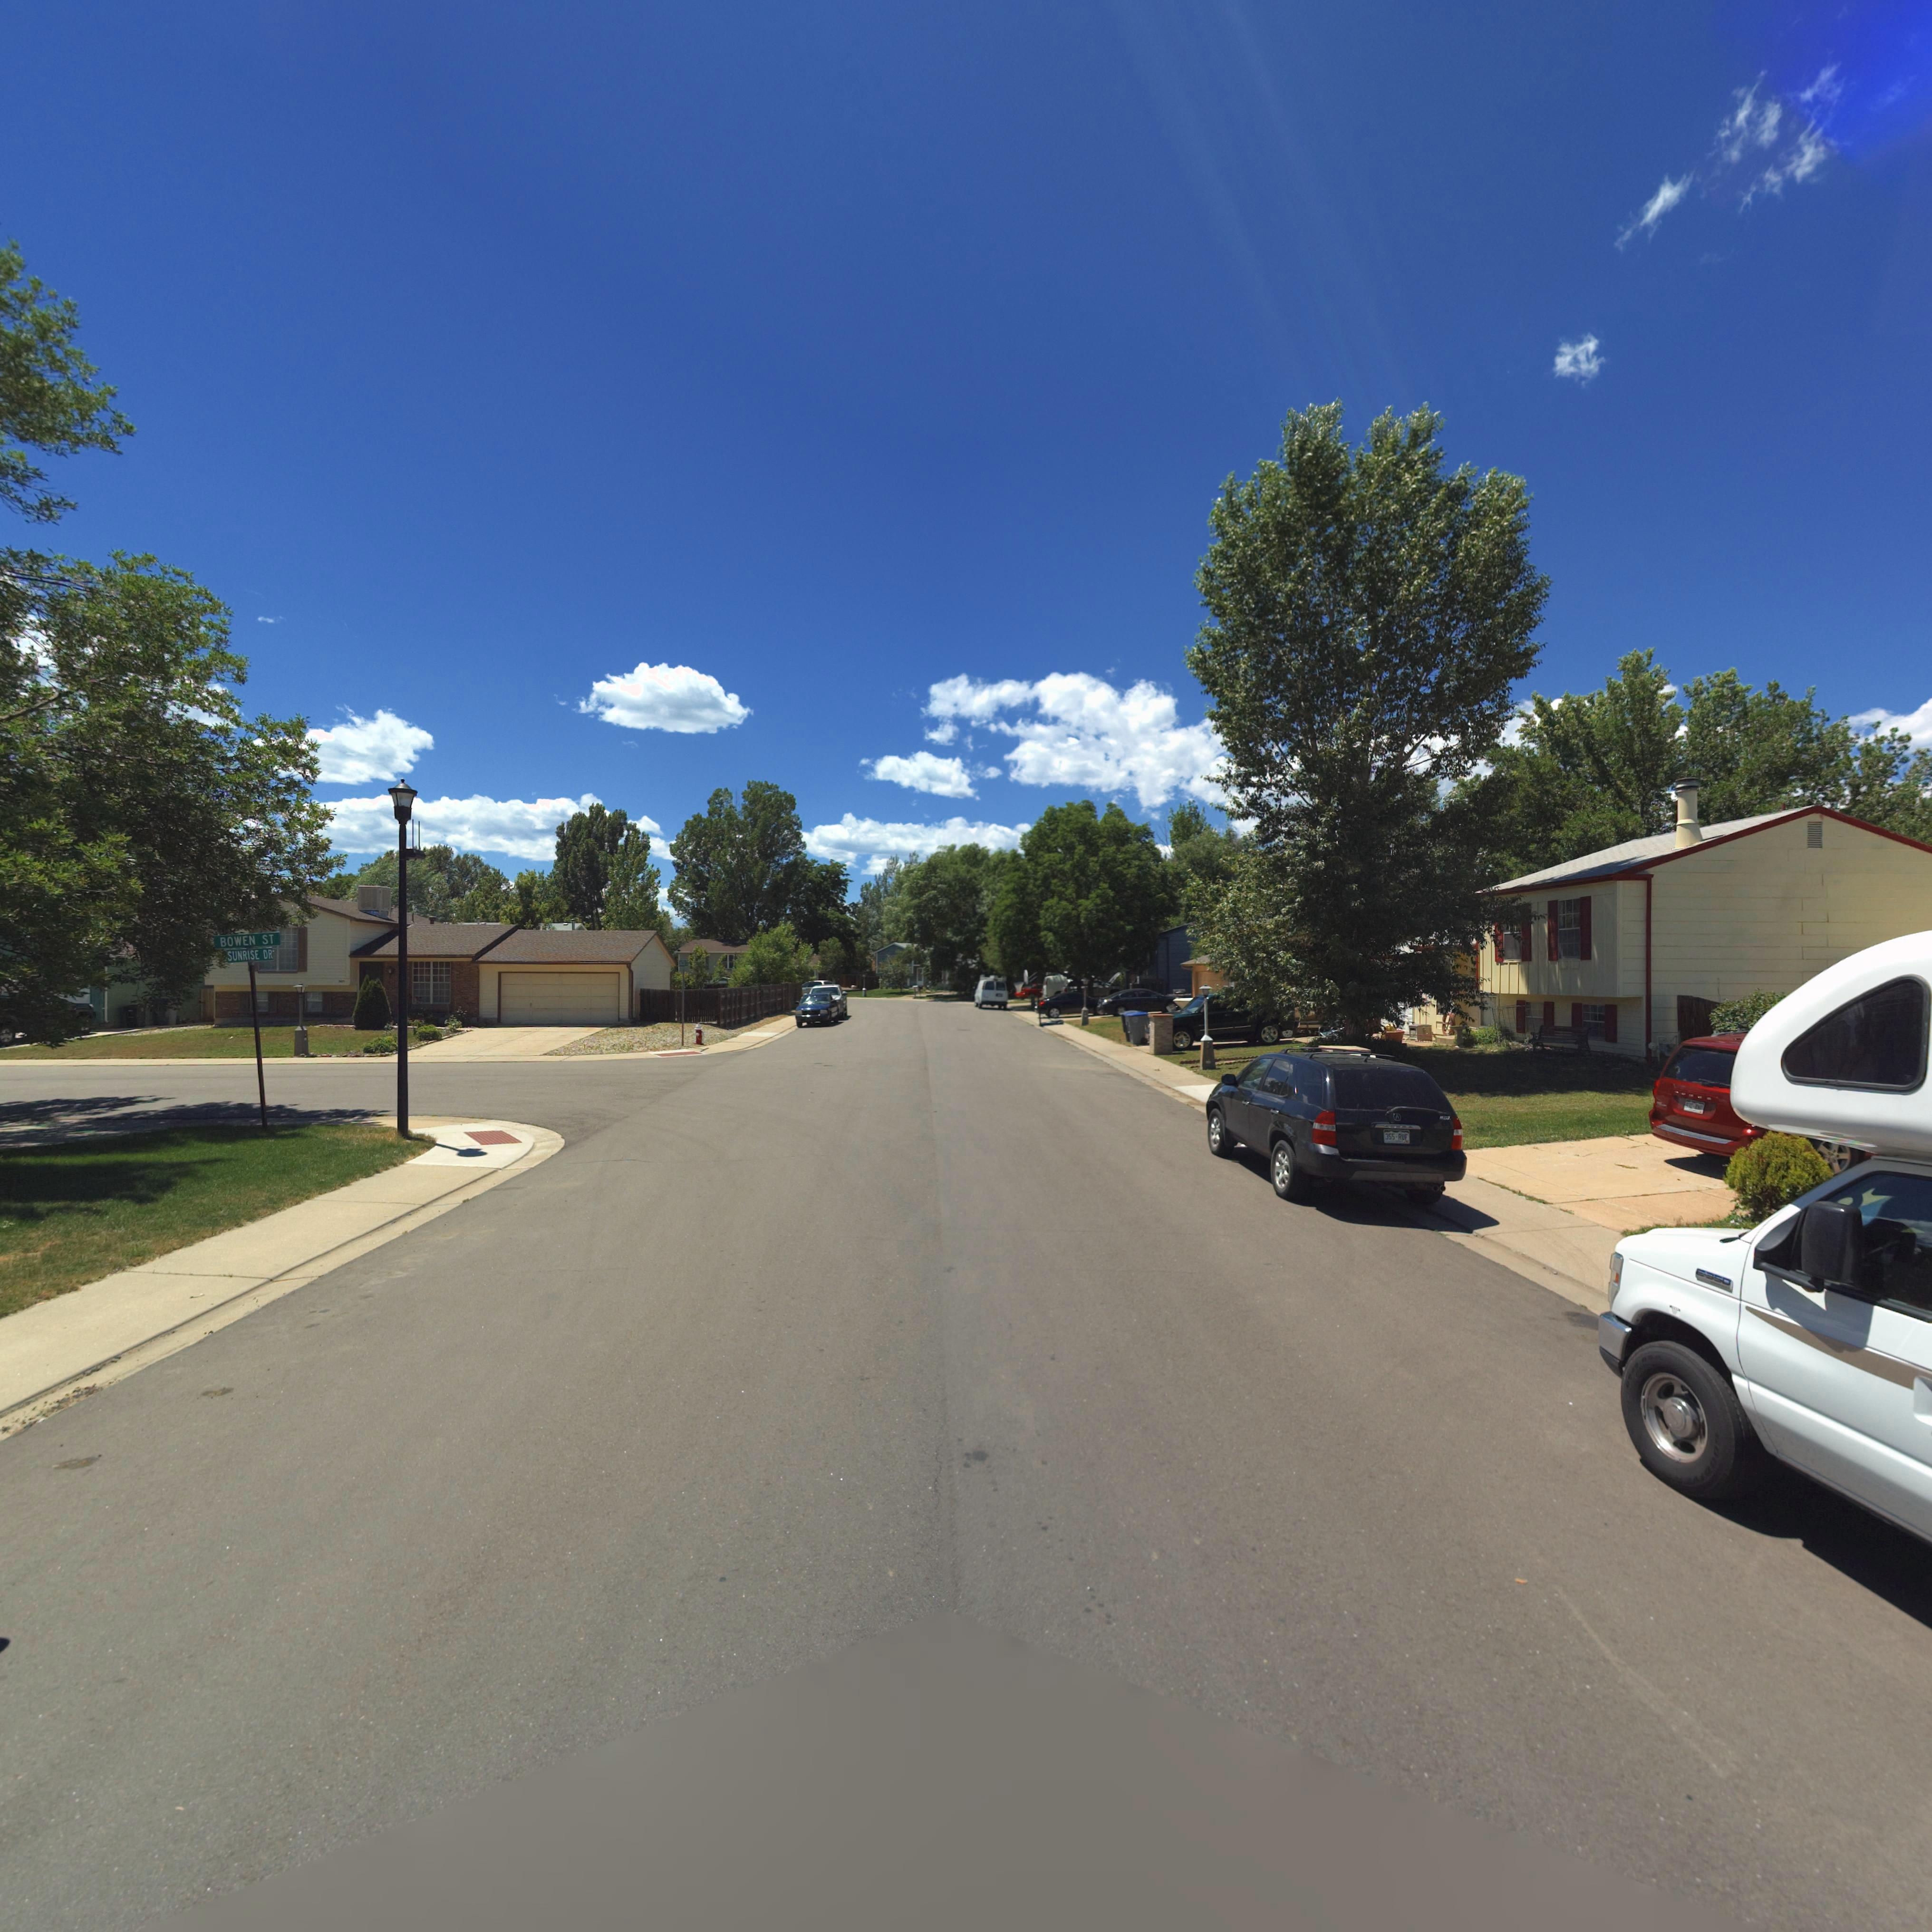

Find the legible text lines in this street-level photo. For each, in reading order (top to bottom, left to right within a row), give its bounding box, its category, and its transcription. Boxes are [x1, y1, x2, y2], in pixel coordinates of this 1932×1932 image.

[220, 934, 274, 947] StreetName: BOWEN ST
[227, 949, 273, 961] StreetName: SUNRISE DR